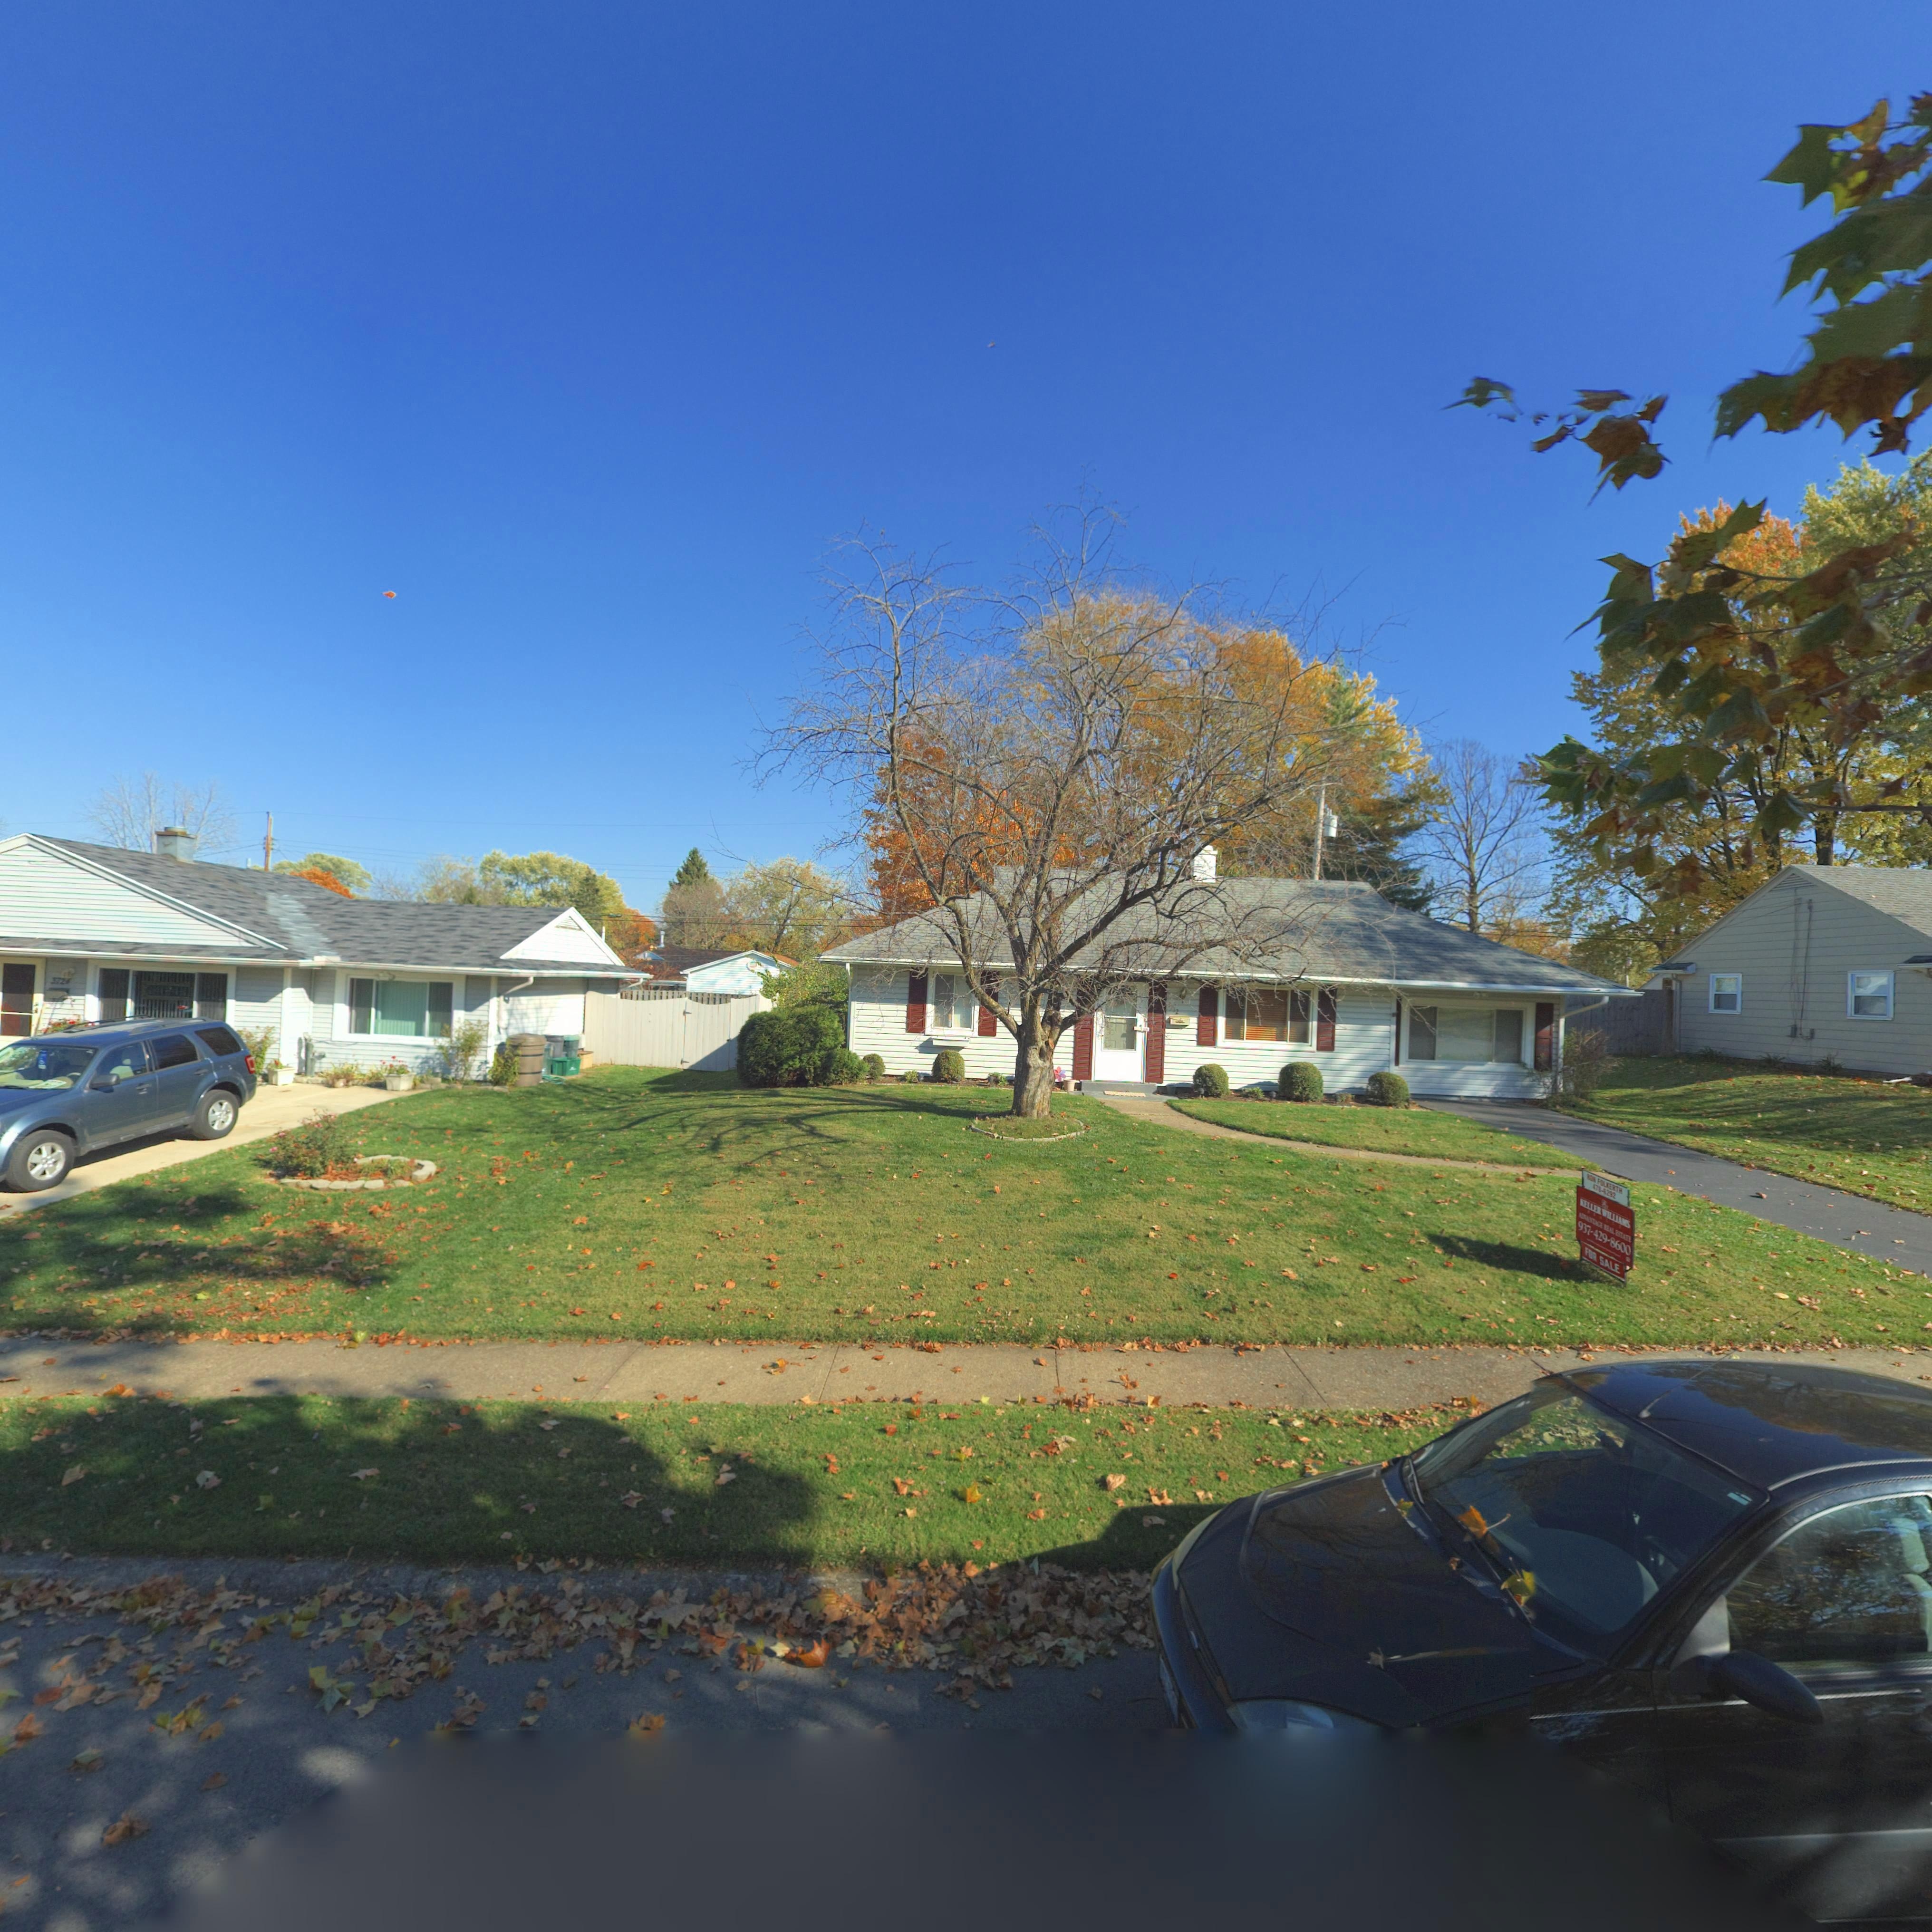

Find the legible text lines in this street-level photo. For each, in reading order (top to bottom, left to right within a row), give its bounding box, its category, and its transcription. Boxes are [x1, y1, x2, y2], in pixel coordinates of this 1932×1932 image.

[1576, 1218, 1632, 1258] None: 937-429-8600
[1580, 1198, 1631, 1230] None: KELLER WILLIAMS
[1578, 1211, 1633, 1244] None: ADVANTAGE REAL ESTATE
[1584, 1246, 1621, 1275] None: FOR SALE